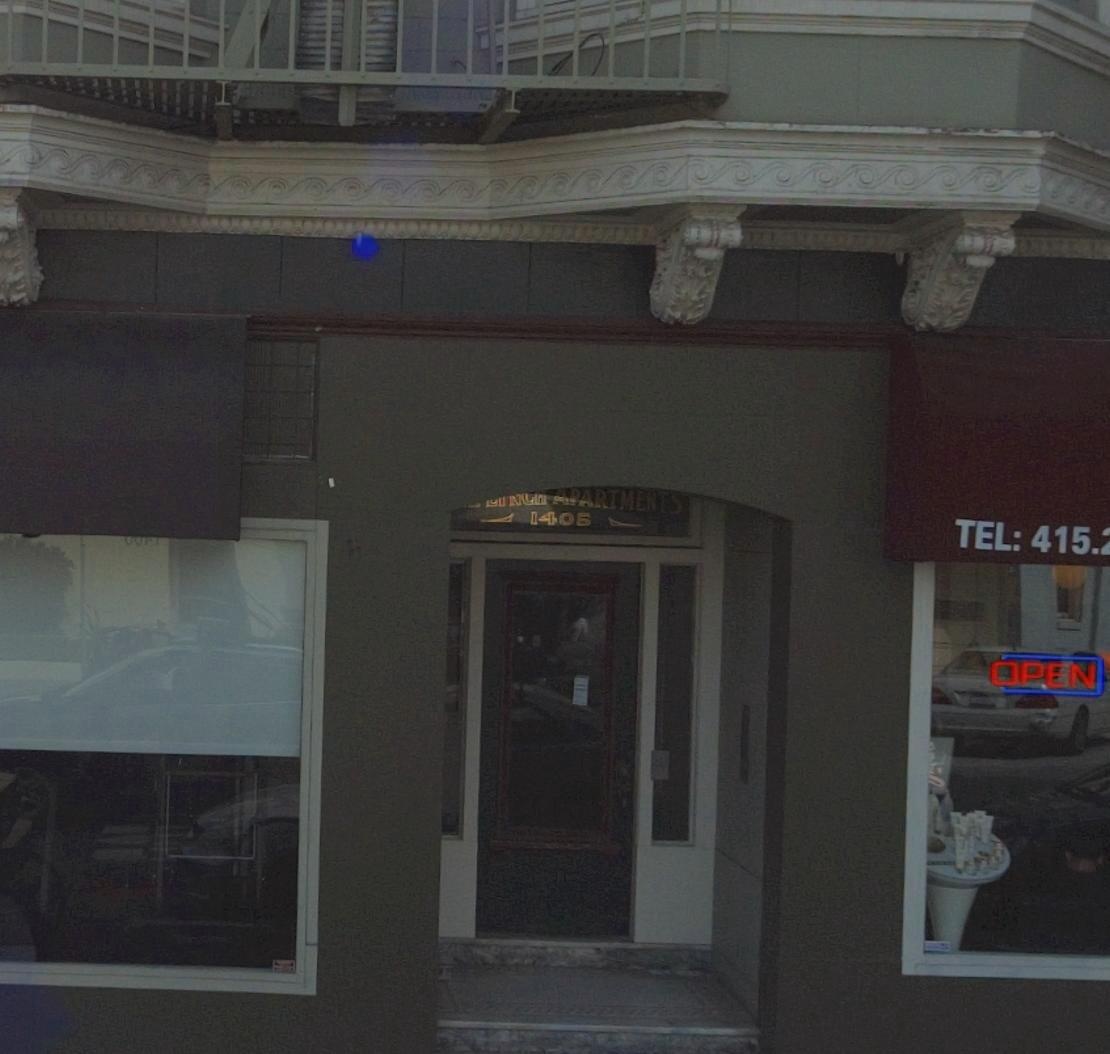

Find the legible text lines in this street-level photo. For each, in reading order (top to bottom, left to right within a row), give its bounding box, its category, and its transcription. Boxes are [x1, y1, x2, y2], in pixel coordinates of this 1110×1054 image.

[550, 486, 685, 517] BusinessName: APARTMENTS
[529, 510, 593, 528] StreetNumber: 1405
[953, 517, 1092, 556] None: TEL: 415
[989, 659, 1097, 690] None: OPEN